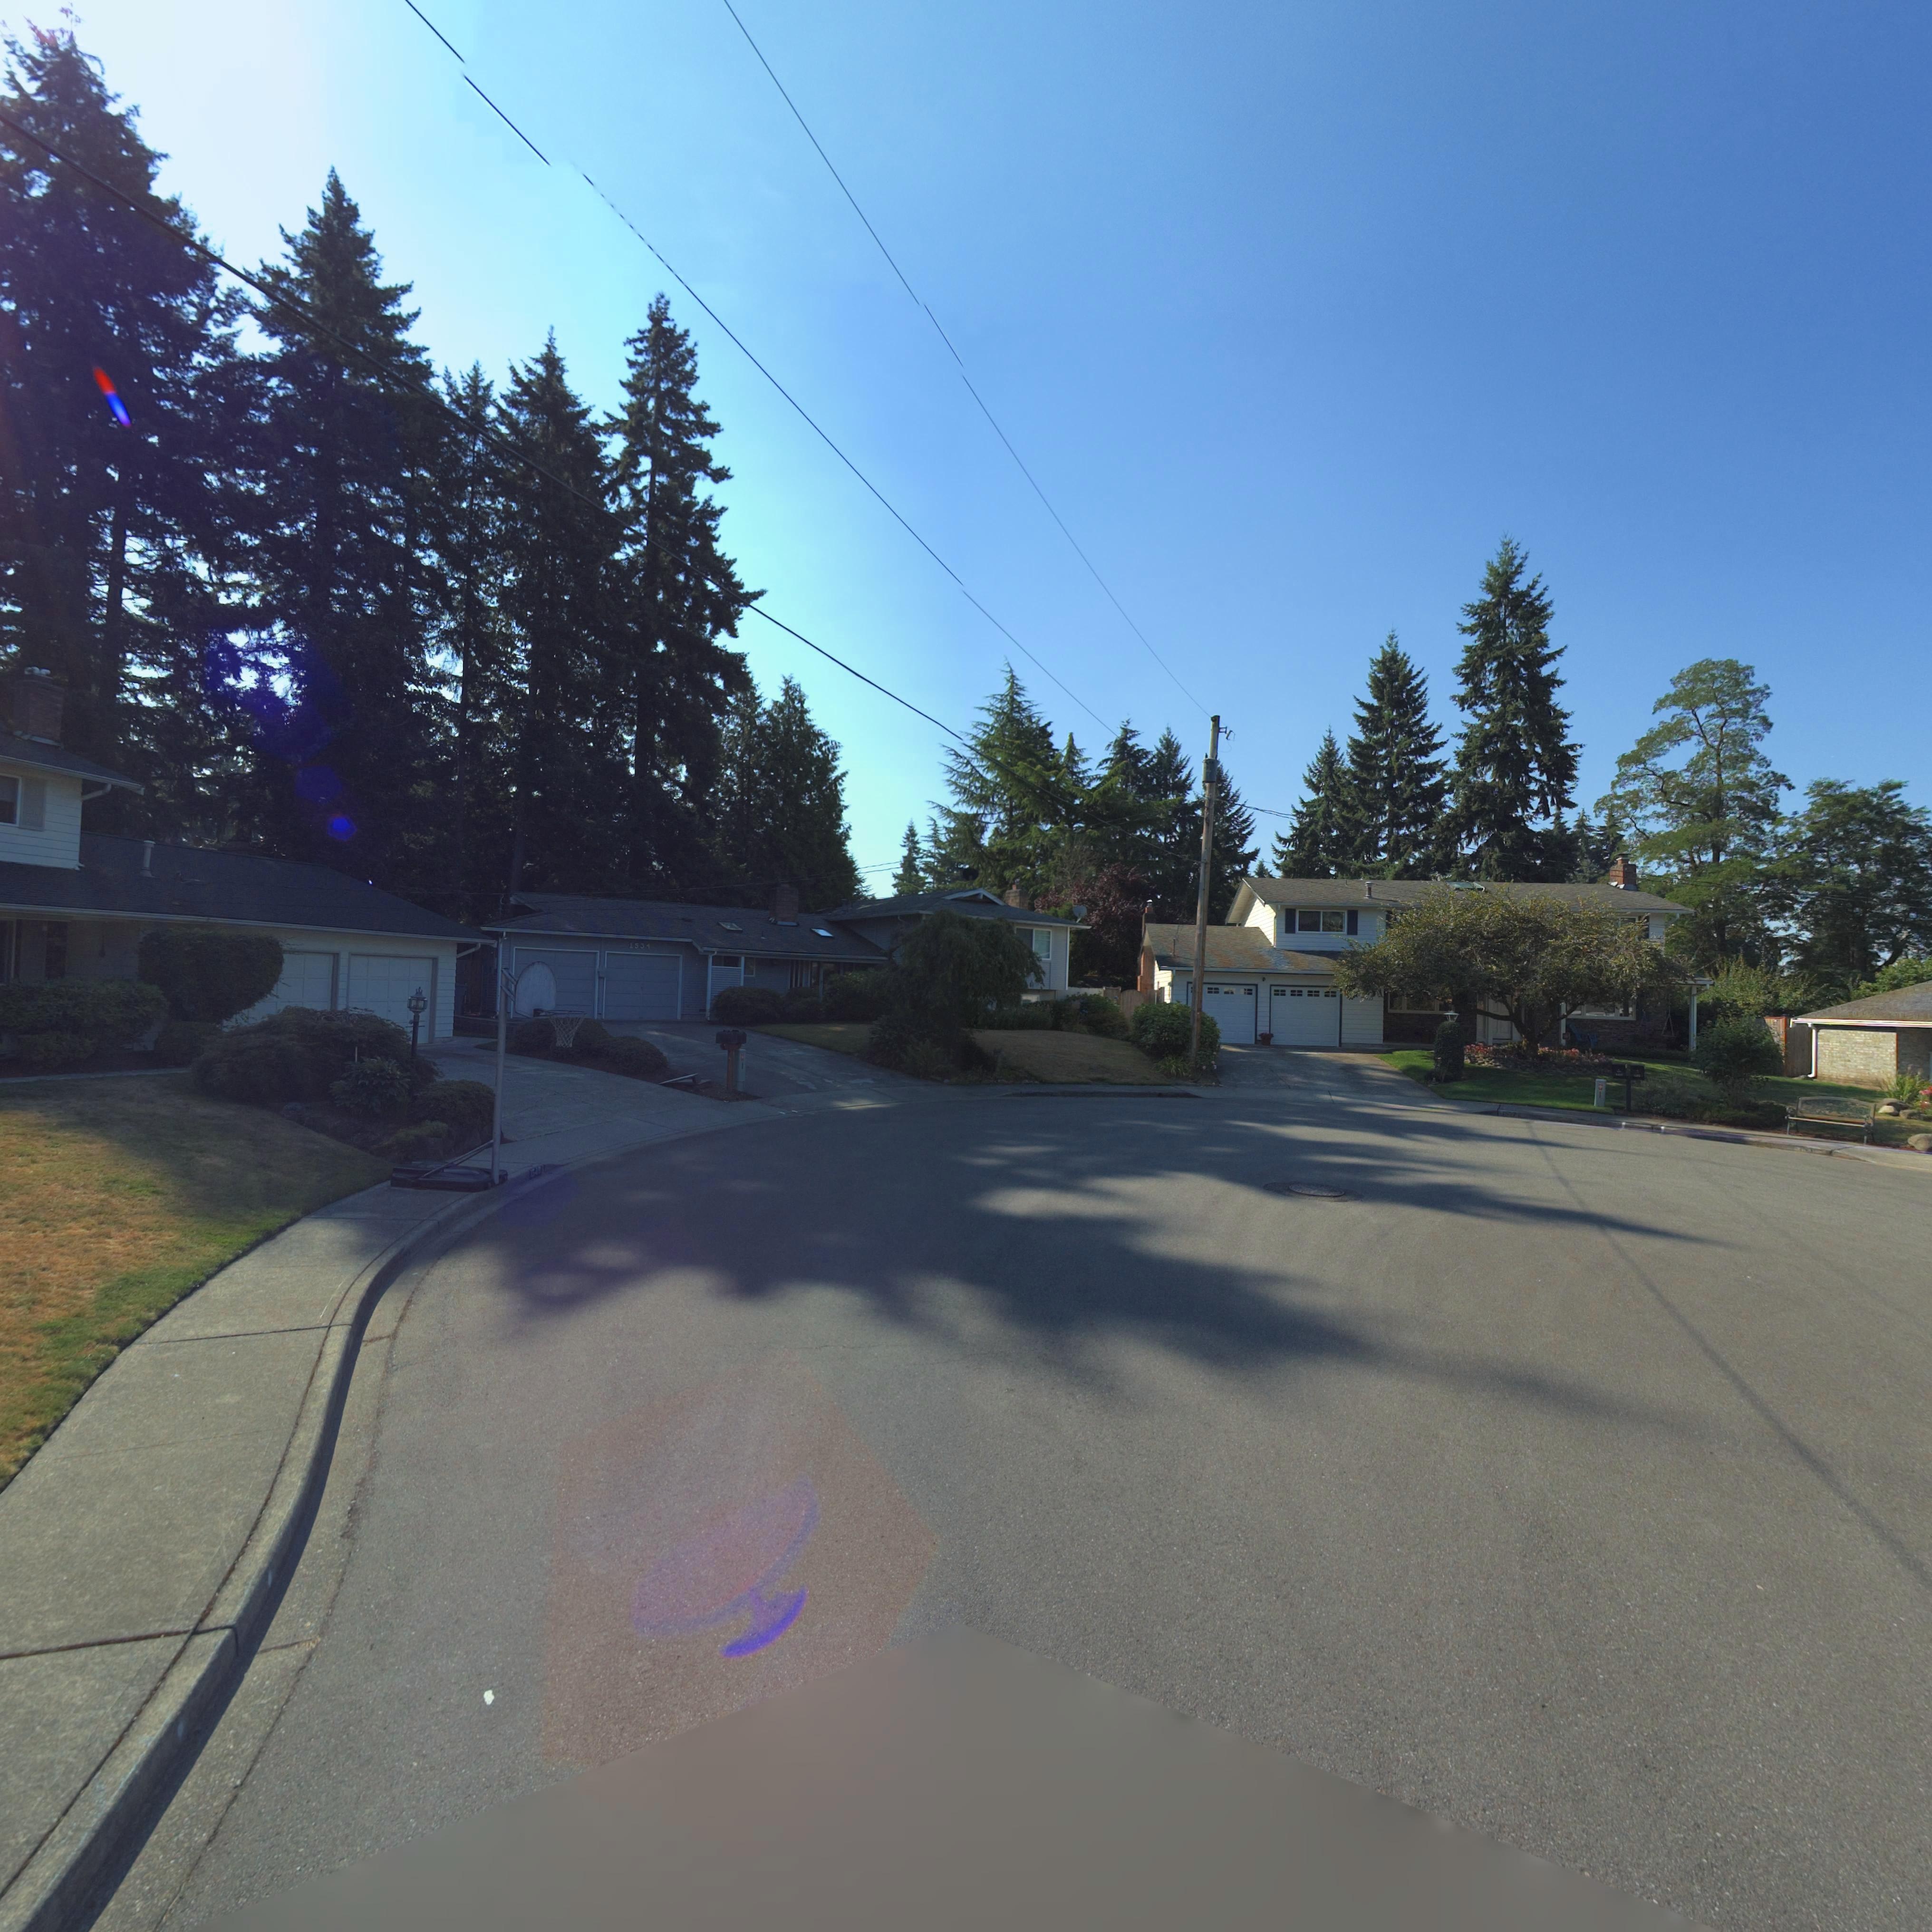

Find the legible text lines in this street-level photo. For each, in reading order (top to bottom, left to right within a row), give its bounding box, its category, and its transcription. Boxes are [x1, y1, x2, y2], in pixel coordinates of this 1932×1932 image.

[628, 941, 652, 950] StreetNumber: 1534